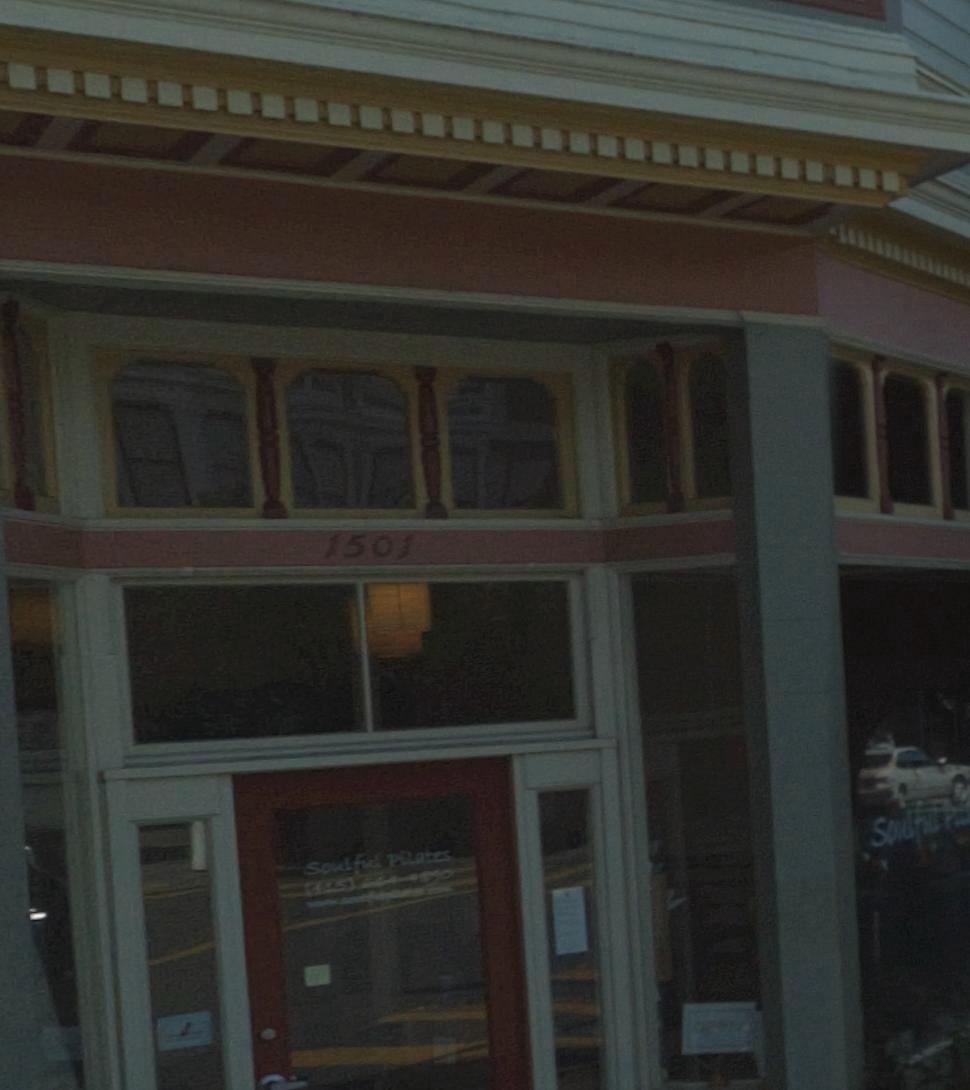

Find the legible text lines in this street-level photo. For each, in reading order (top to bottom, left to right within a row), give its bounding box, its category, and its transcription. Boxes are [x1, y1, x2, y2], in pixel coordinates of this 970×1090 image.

[319, 530, 418, 562] StreetNumber: 1501
[867, 814, 900, 850] None: So
[300, 852, 353, 878] None: Soul
[385, 851, 403, 870] None: P
[430, 846, 454, 865] None: es